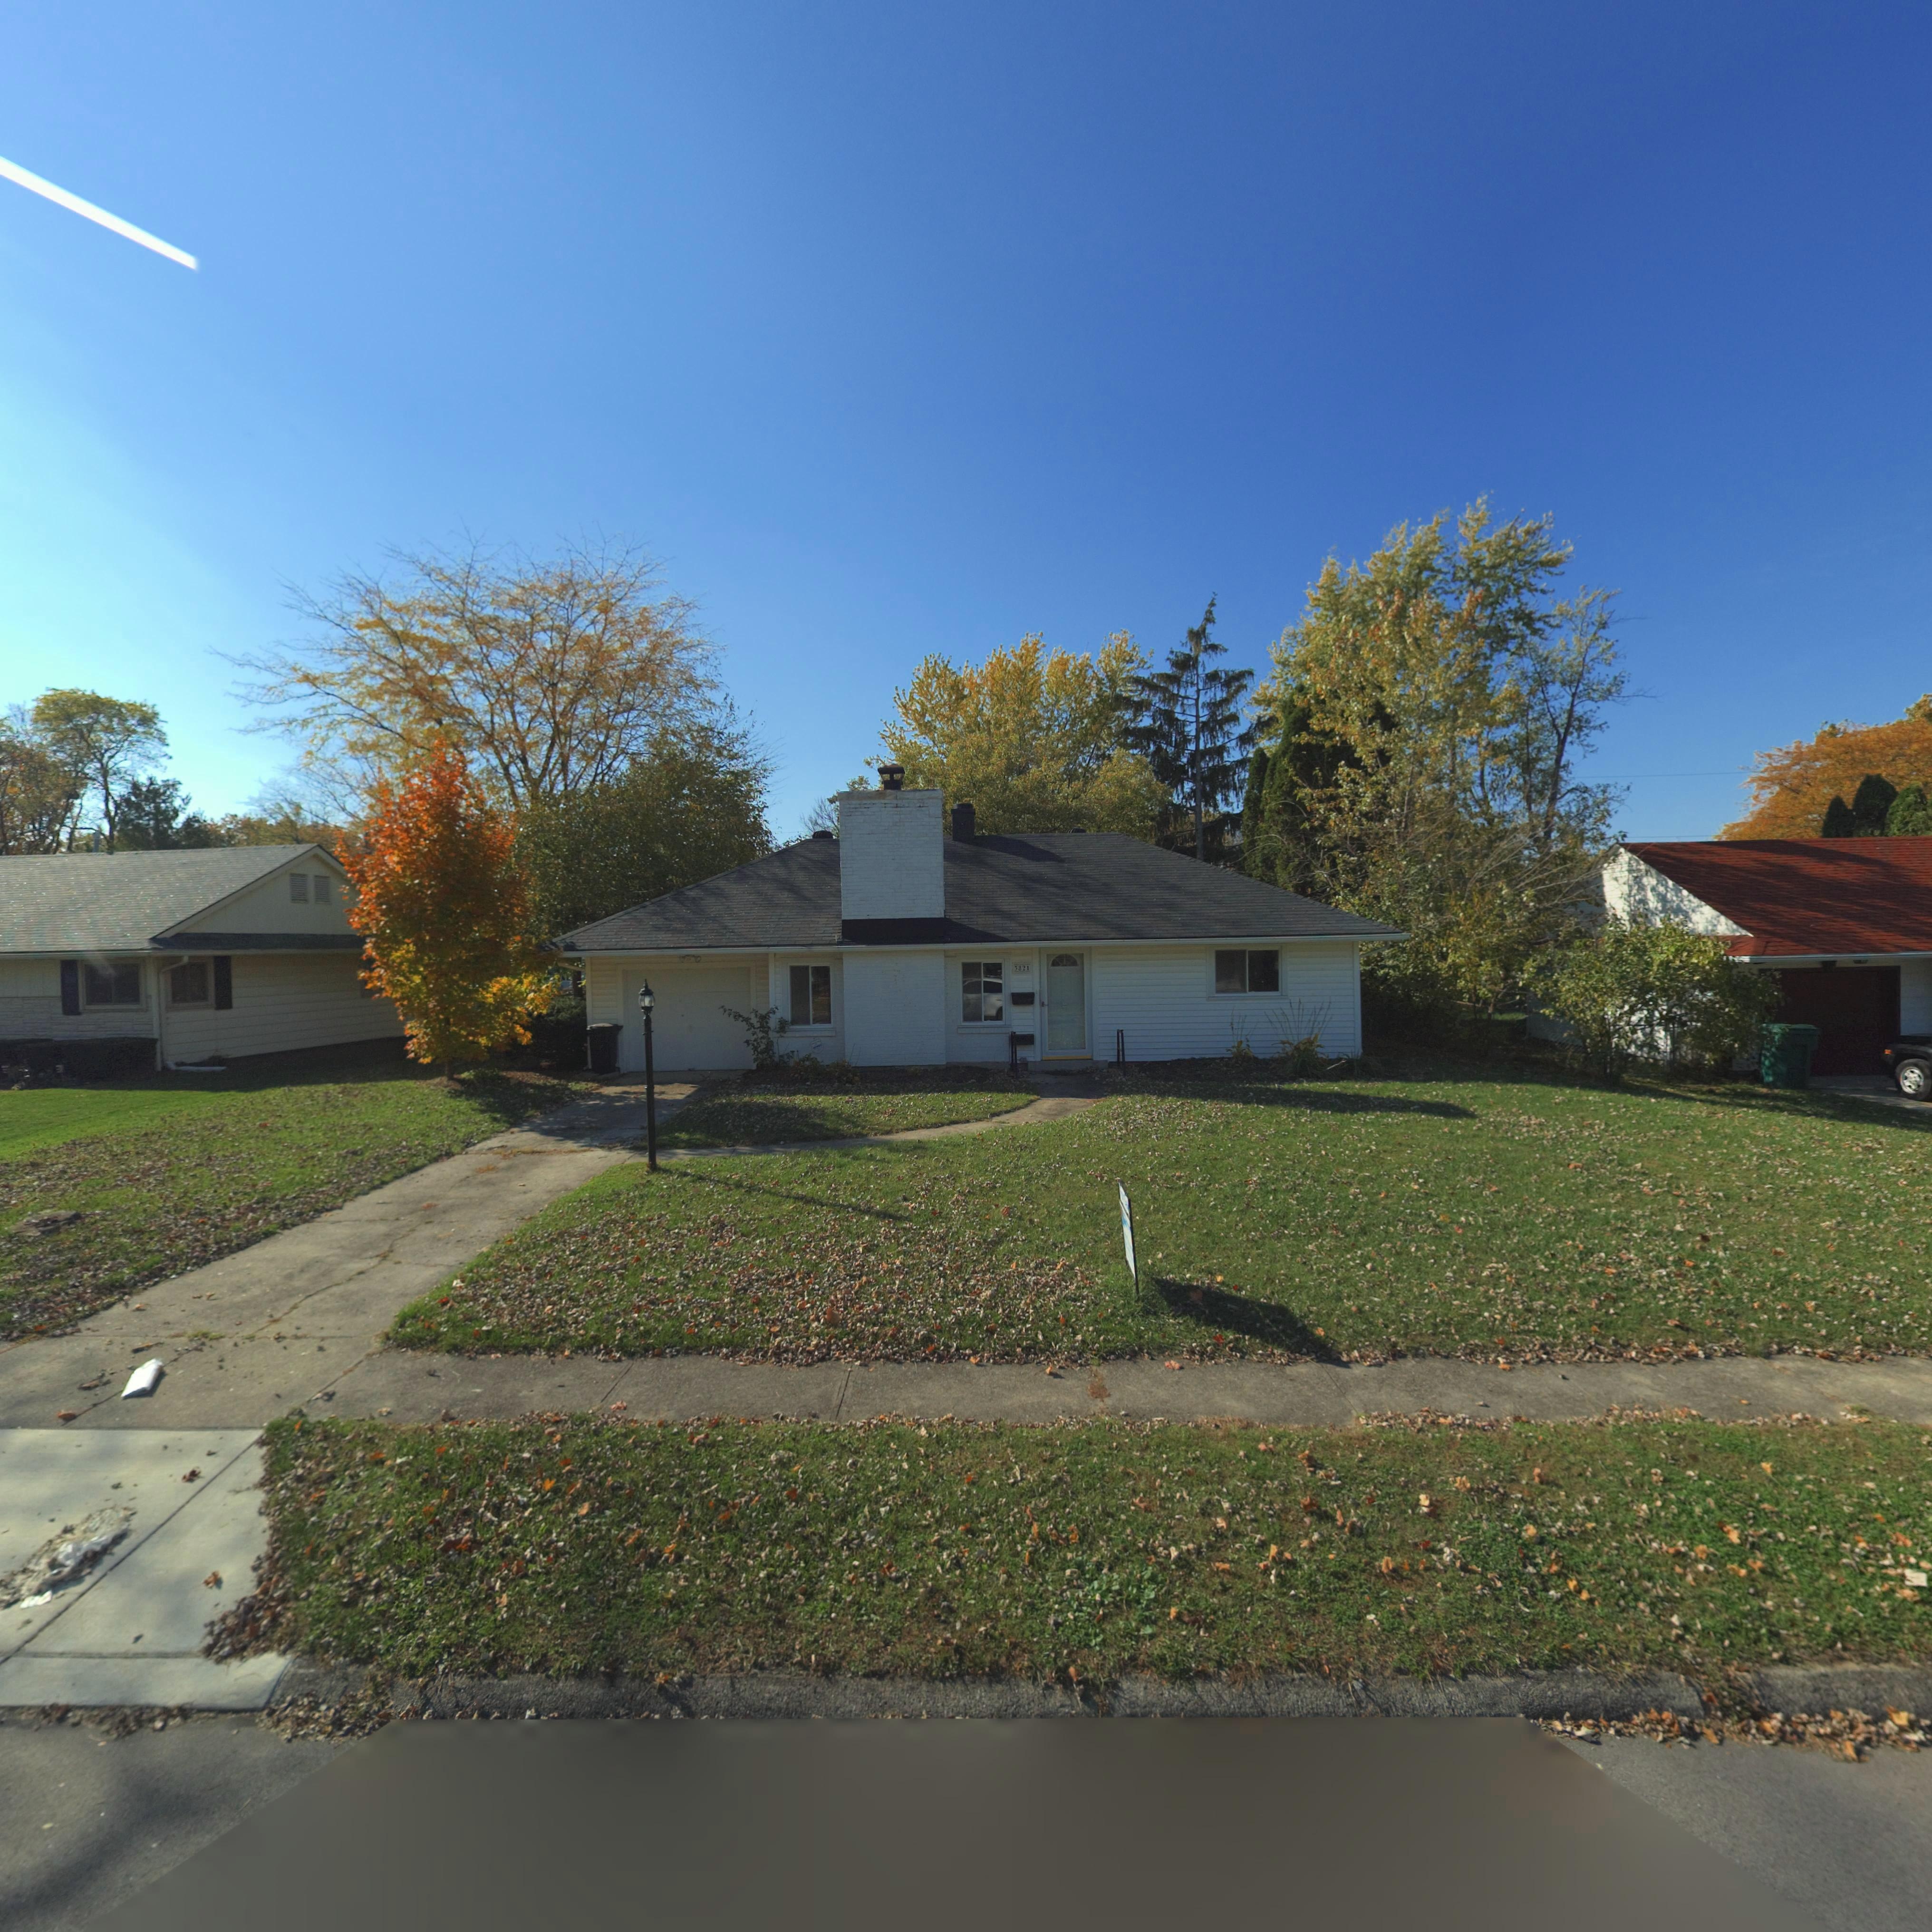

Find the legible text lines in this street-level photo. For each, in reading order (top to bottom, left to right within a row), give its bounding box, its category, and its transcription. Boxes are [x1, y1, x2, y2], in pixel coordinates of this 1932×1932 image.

[1014, 965, 1030, 972] StreetNumber: 3821